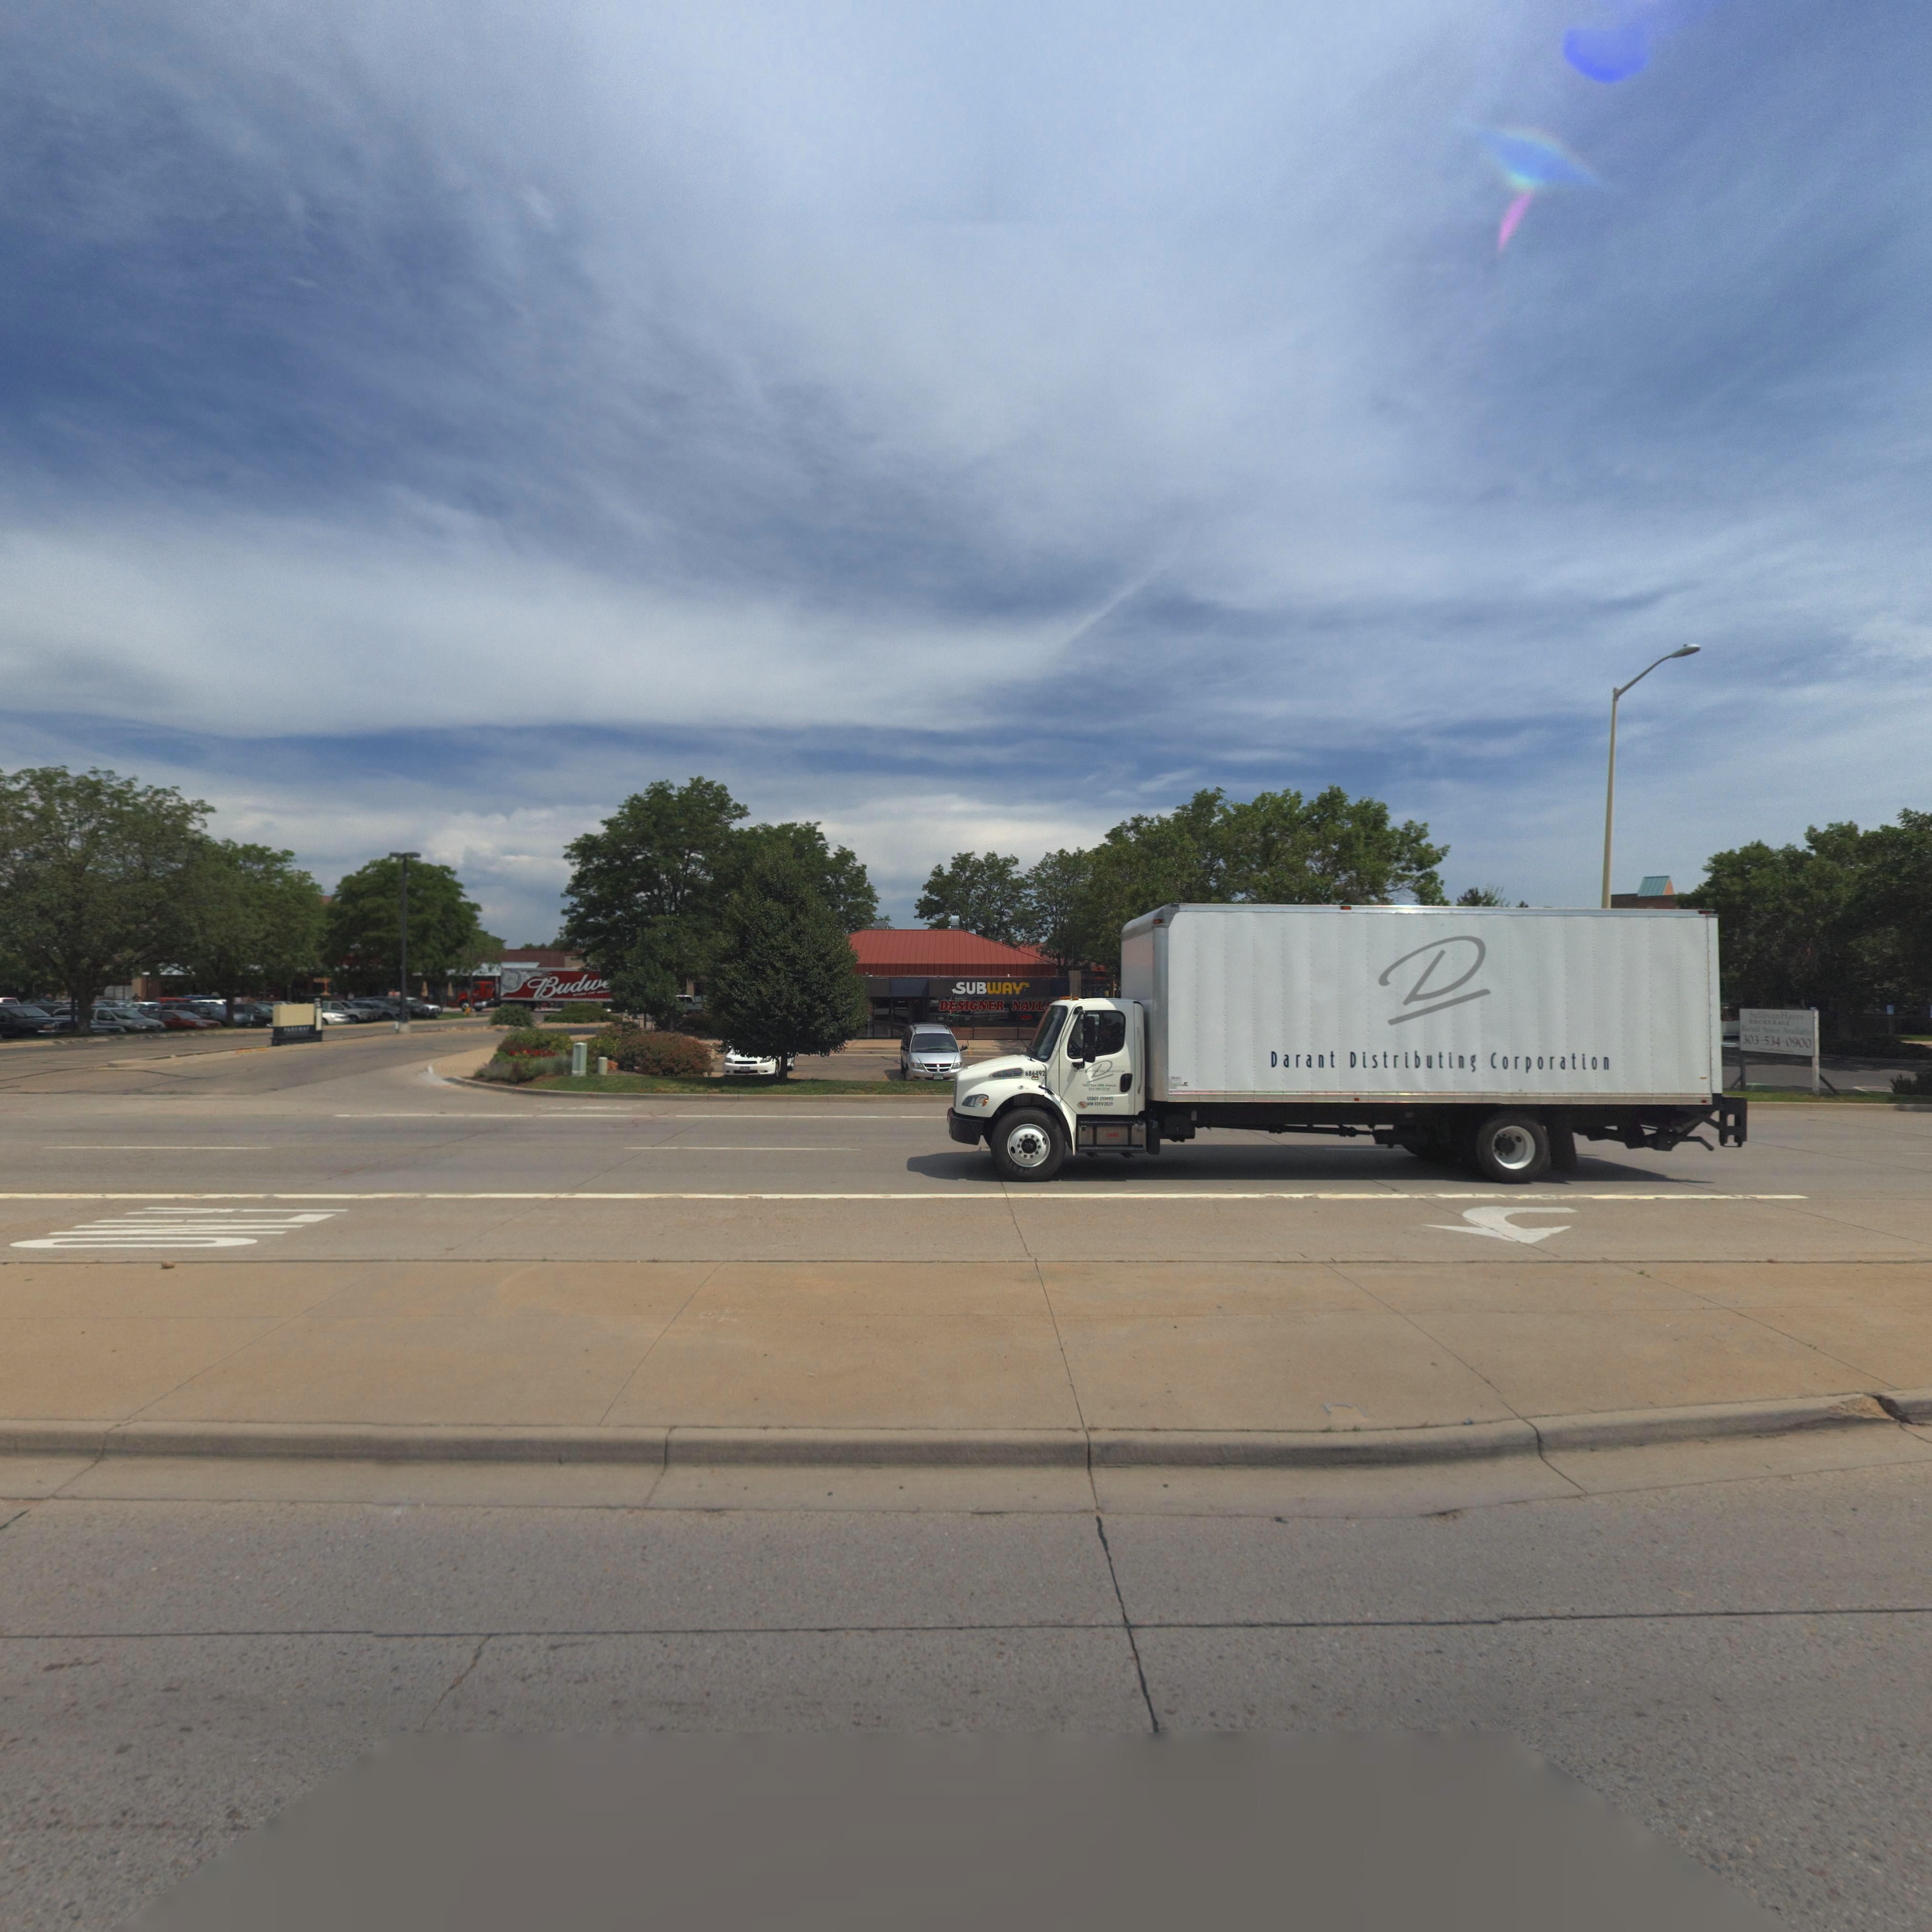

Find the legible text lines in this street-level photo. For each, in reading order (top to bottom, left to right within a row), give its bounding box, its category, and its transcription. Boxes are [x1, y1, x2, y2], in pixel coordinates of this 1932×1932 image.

[949, 981, 1032, 995] BusinessName: SUBWAY
[931, 999, 939, 1004] StreetNumber: 700
[937, 999, 1053, 1011] BusinessName: DESIGNER NAIL*